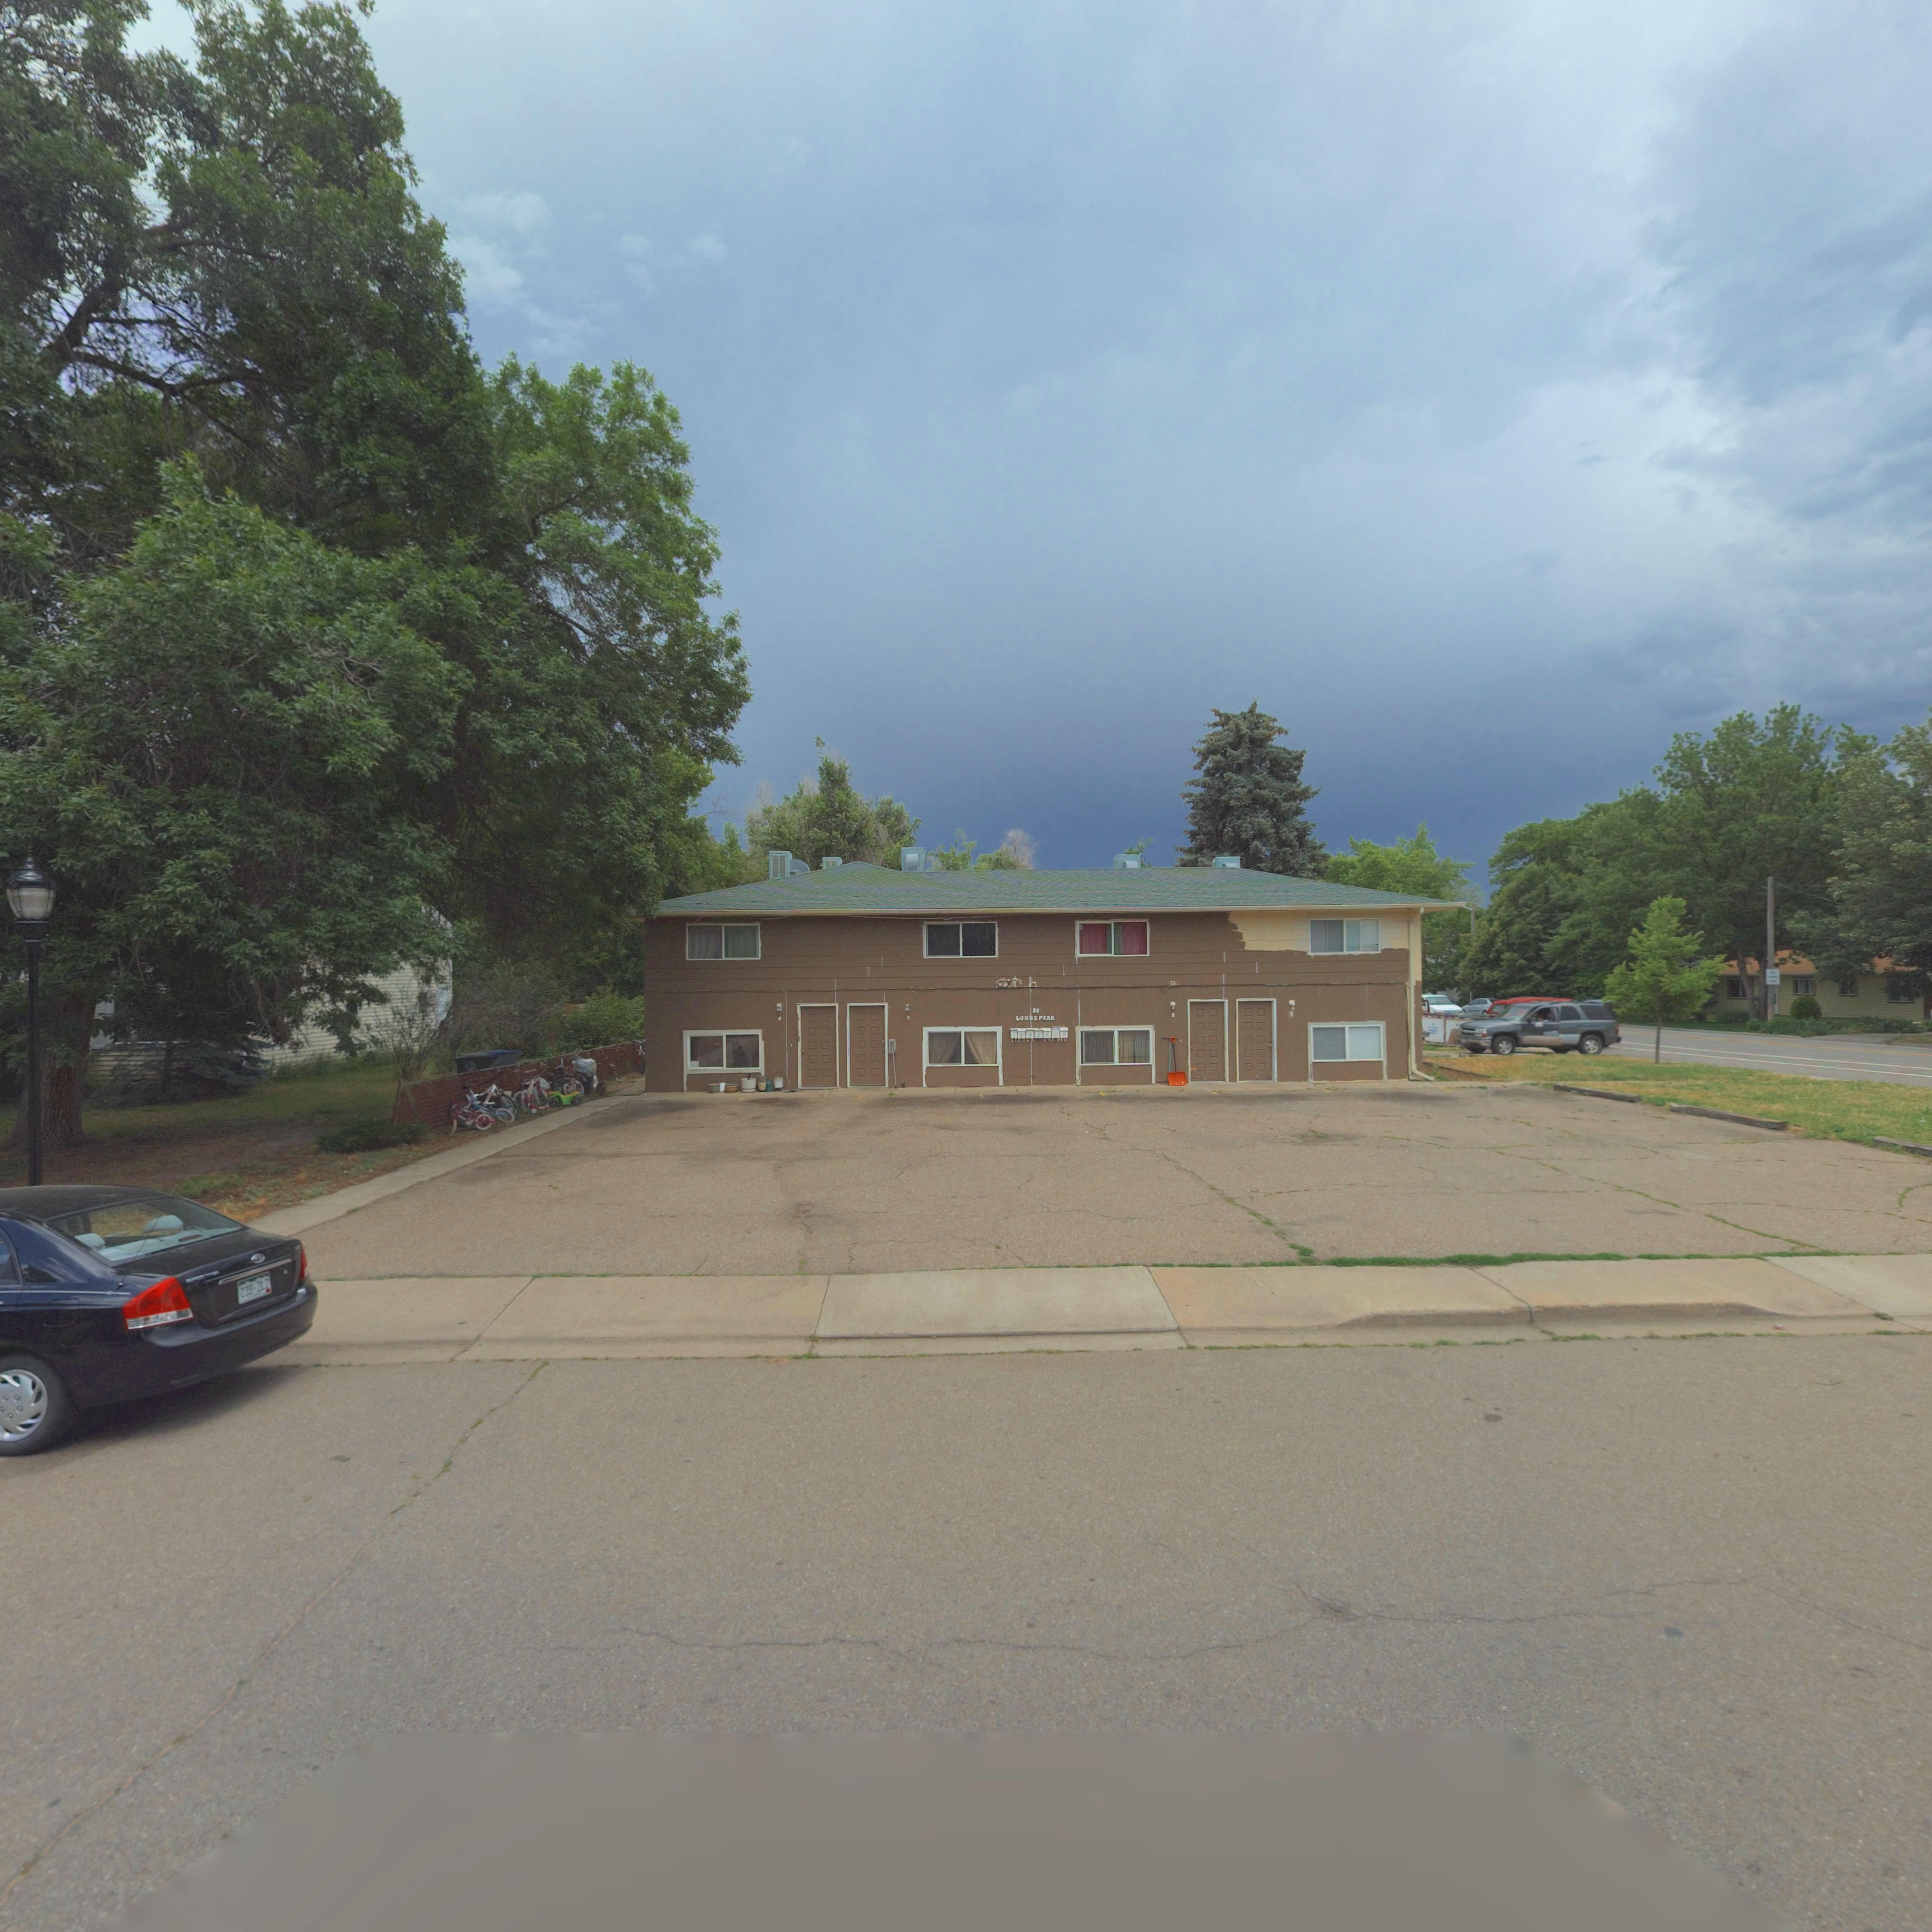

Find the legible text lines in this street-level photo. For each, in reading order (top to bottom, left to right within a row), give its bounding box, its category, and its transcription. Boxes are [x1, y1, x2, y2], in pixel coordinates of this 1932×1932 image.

[1032, 1007, 1039, 1013] StreetNumber: 28
[1015, 1015, 1055, 1021] StreetName: LONGS PEAK